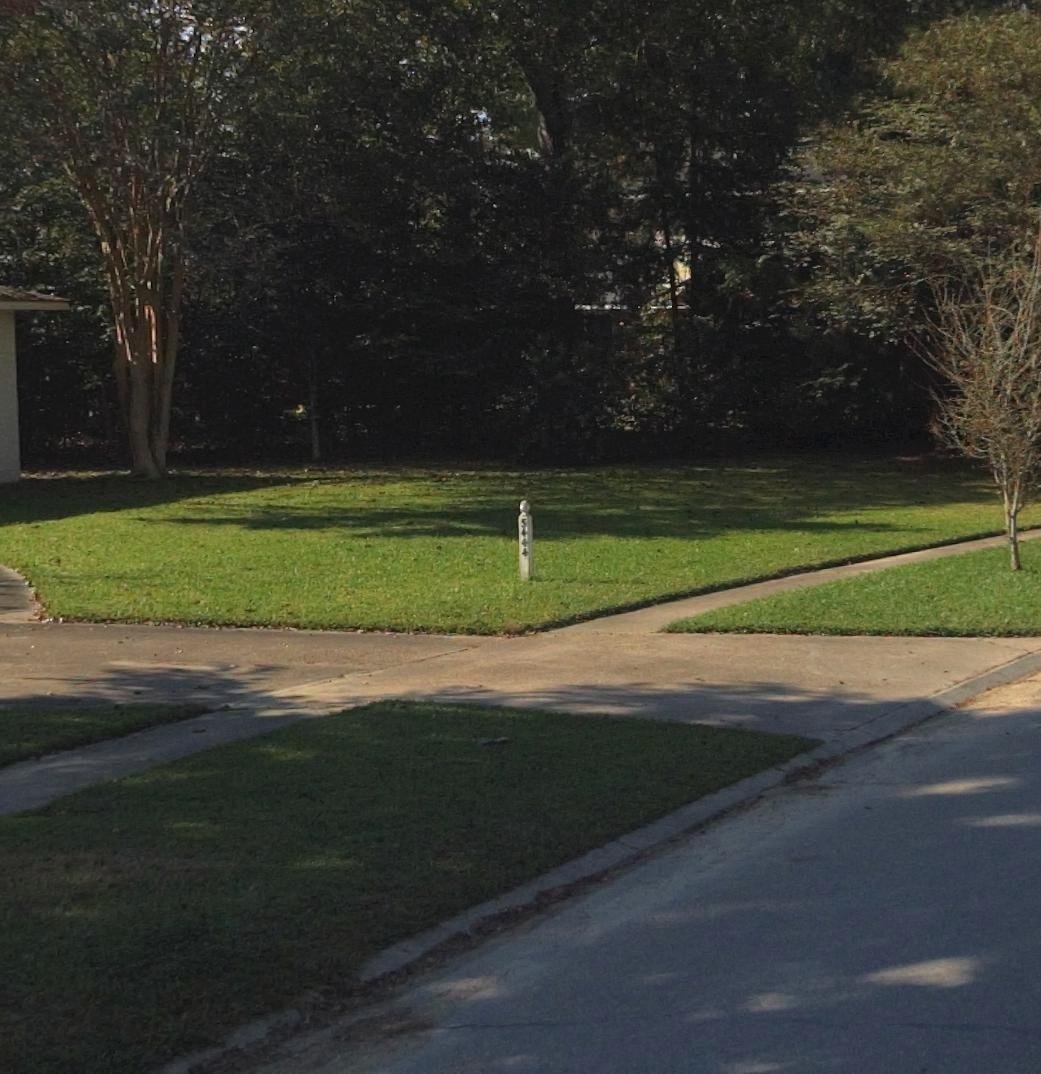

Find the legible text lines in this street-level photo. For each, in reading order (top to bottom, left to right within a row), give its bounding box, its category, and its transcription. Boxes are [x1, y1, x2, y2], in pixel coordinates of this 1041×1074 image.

[521, 518, 529, 559] StreetNumber: 5444